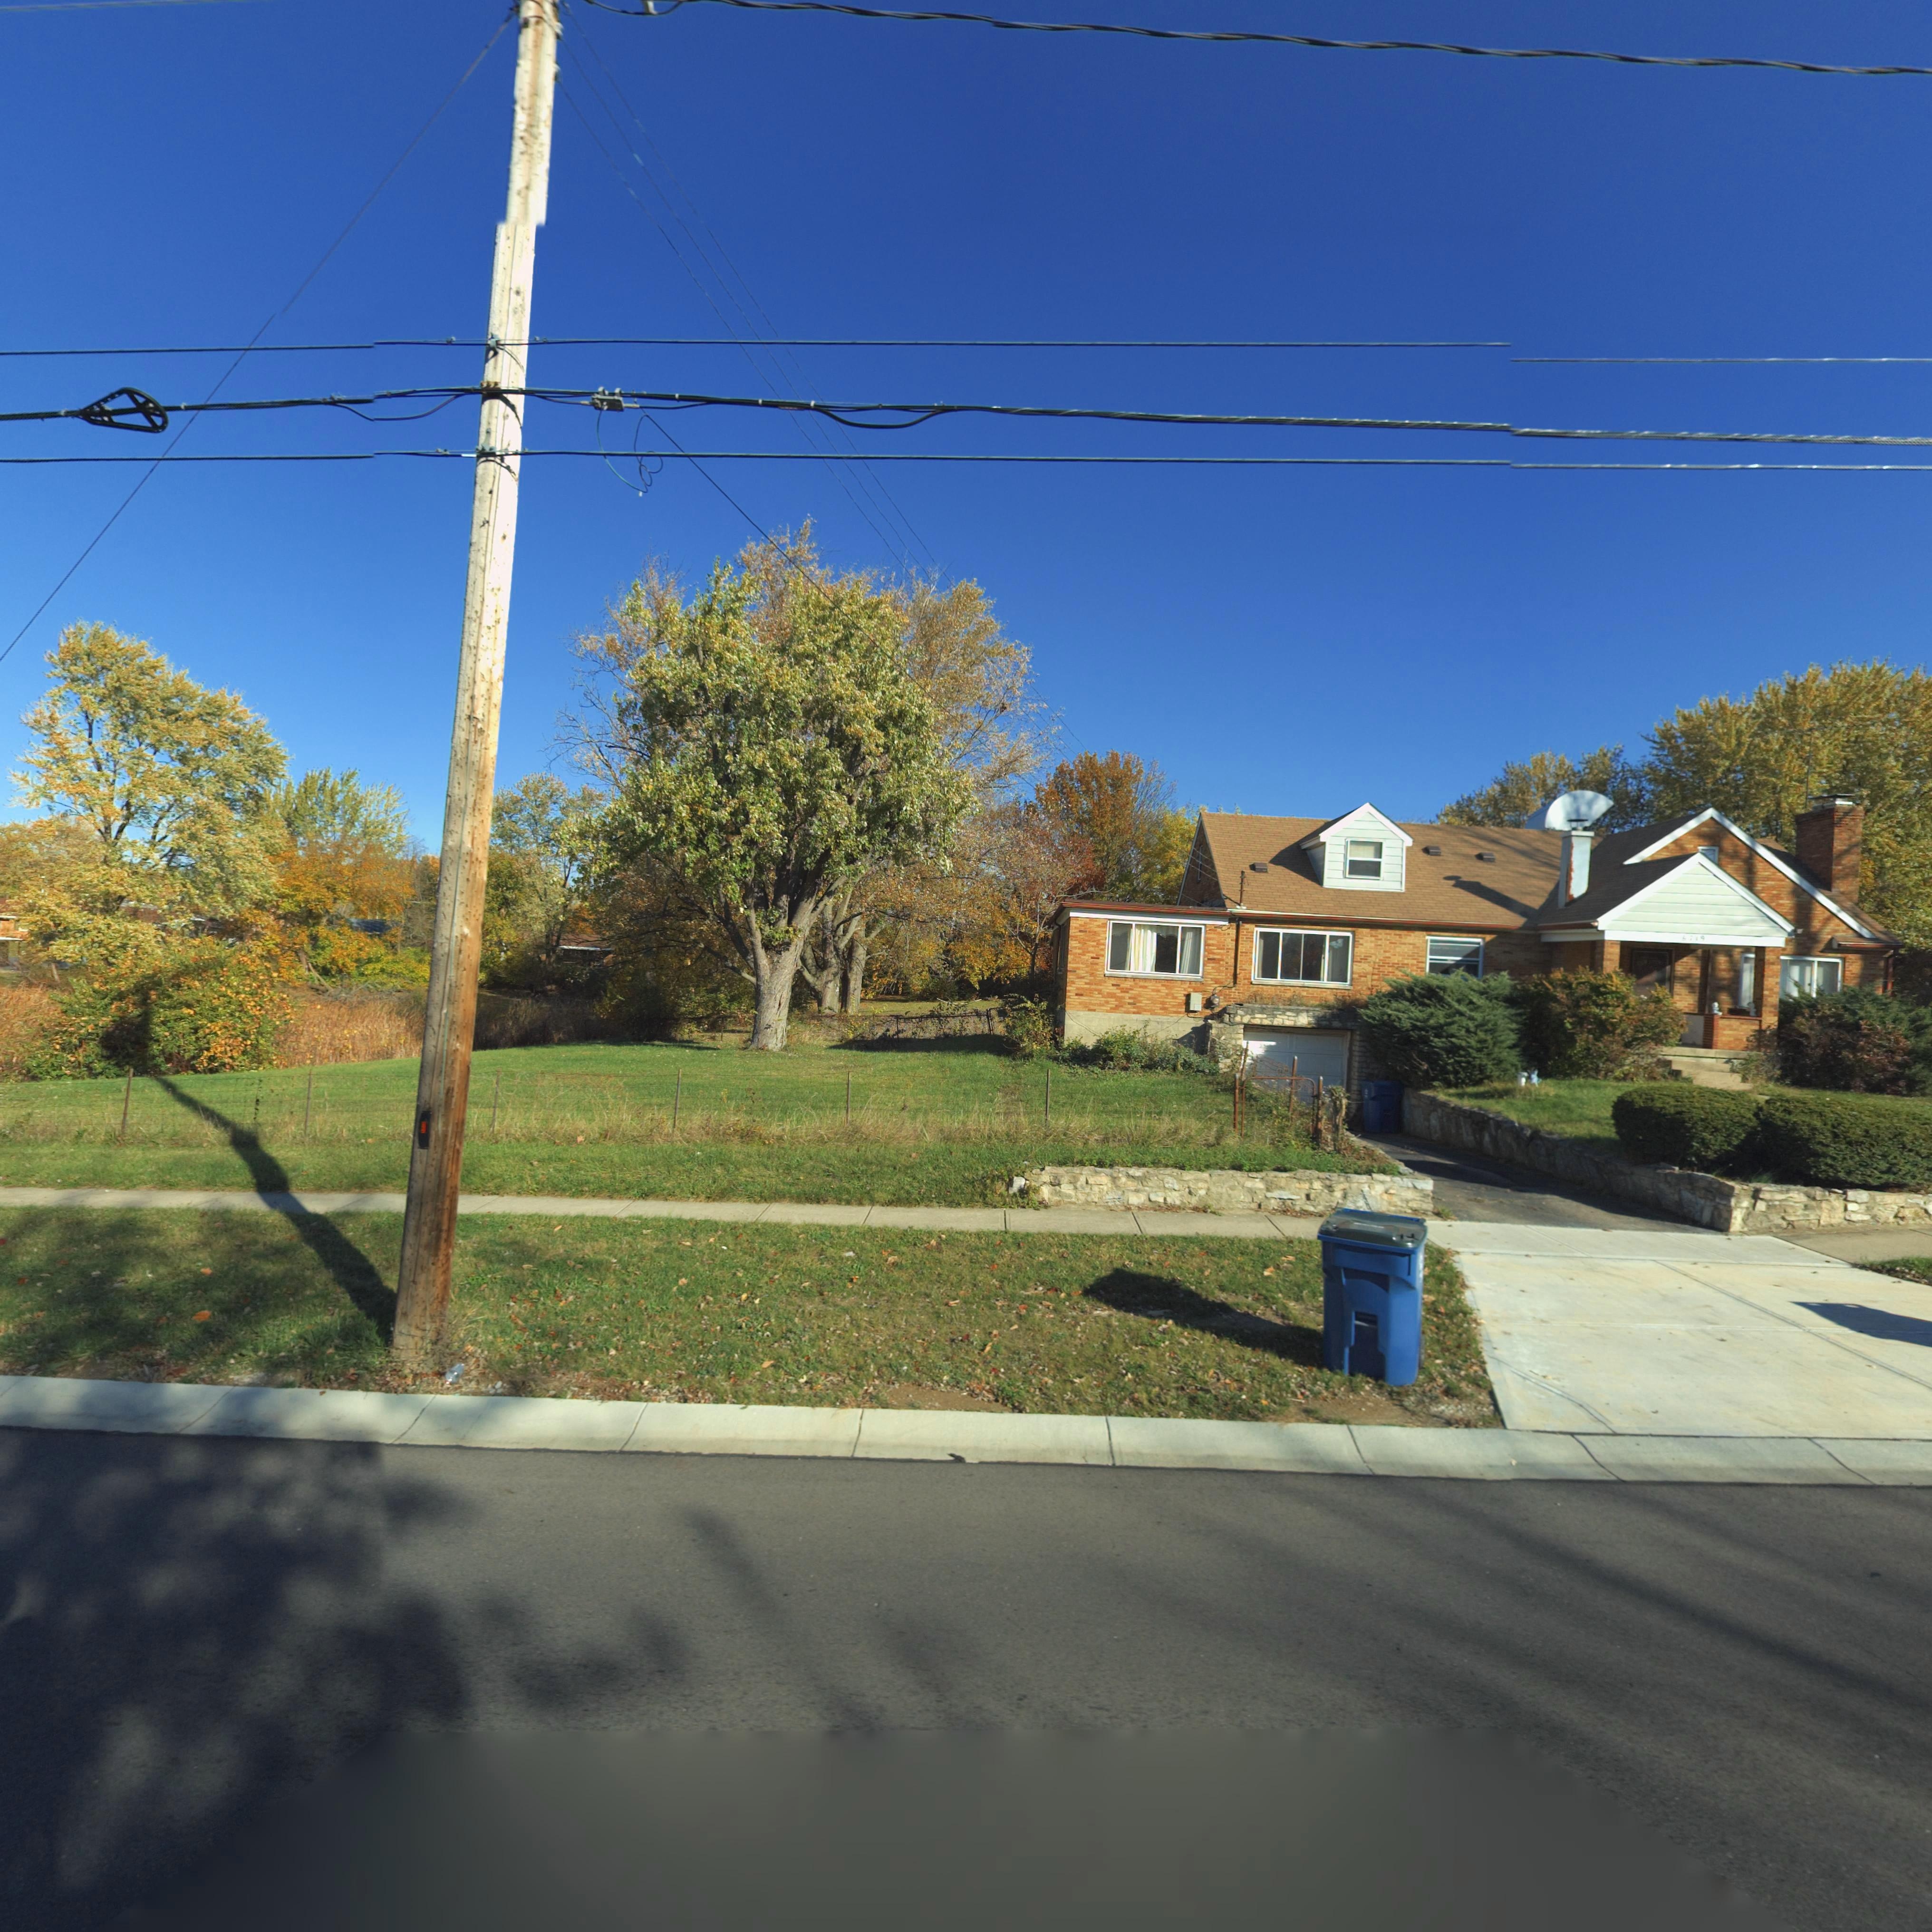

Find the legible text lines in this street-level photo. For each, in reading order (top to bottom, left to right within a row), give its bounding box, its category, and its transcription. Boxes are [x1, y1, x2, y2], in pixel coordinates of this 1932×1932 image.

[1681, 934, 1706, 943] StreetNumber: 6**9